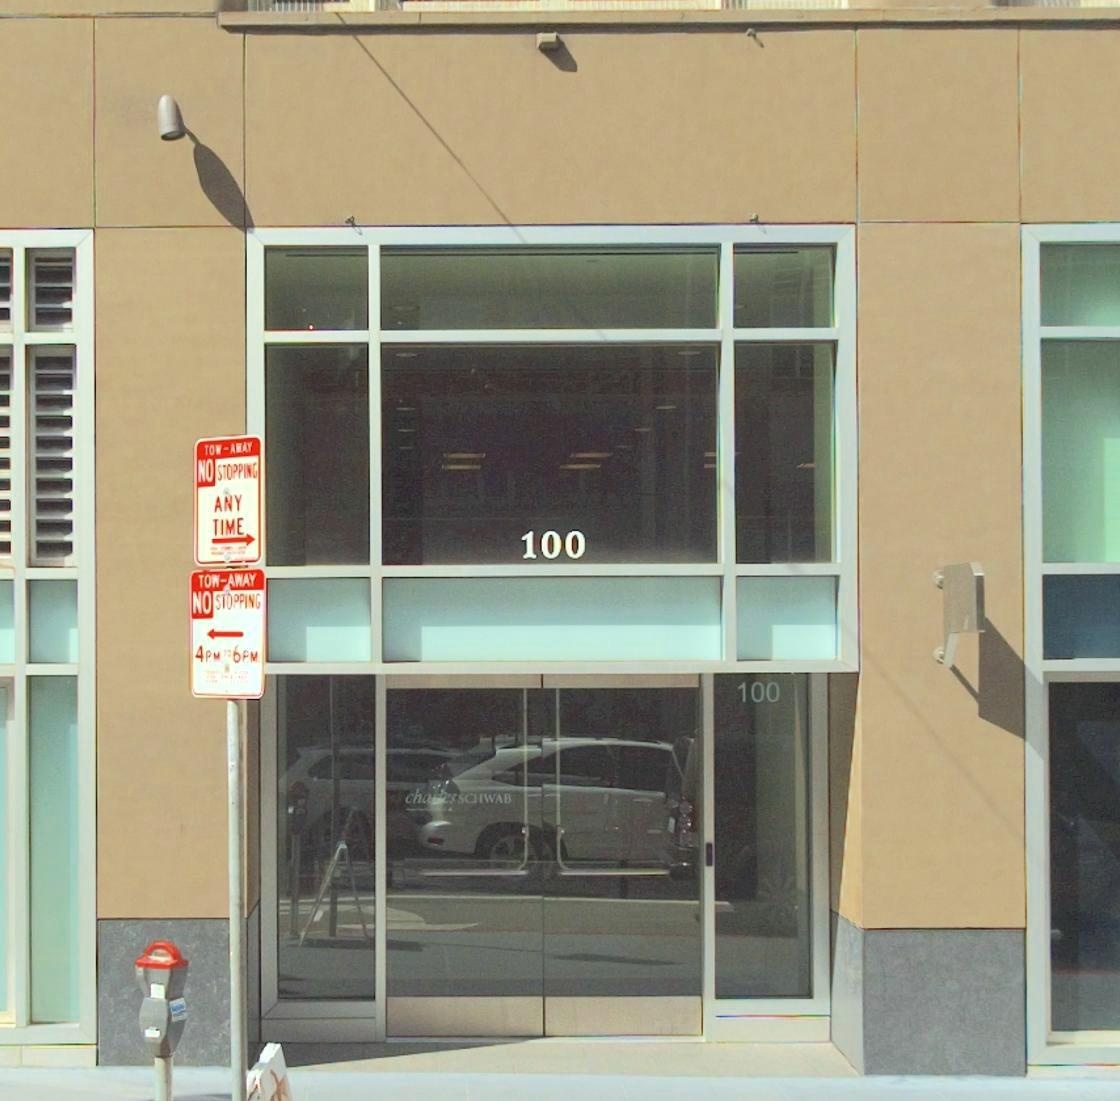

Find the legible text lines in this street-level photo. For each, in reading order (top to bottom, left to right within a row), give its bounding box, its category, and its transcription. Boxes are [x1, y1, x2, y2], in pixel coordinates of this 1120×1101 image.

[203, 440, 254, 456] None: TOW-AWAY
[196, 457, 259, 483] None: NO STOPPING
[212, 492, 245, 513] None: ANY
[210, 517, 245, 536] None: TIME
[520, 529, 588, 561] StreetNumber: 100
[196, 572, 260, 588] None: TOW-AWAY
[191, 590, 261, 614] None: NO STOPPING
[193, 644, 260, 665] None: 4PM TO 6PM
[736, 680, 781, 703] StreetNumber: 100
[402, 786, 512, 805] BusinessName: cha**sSCHWAB